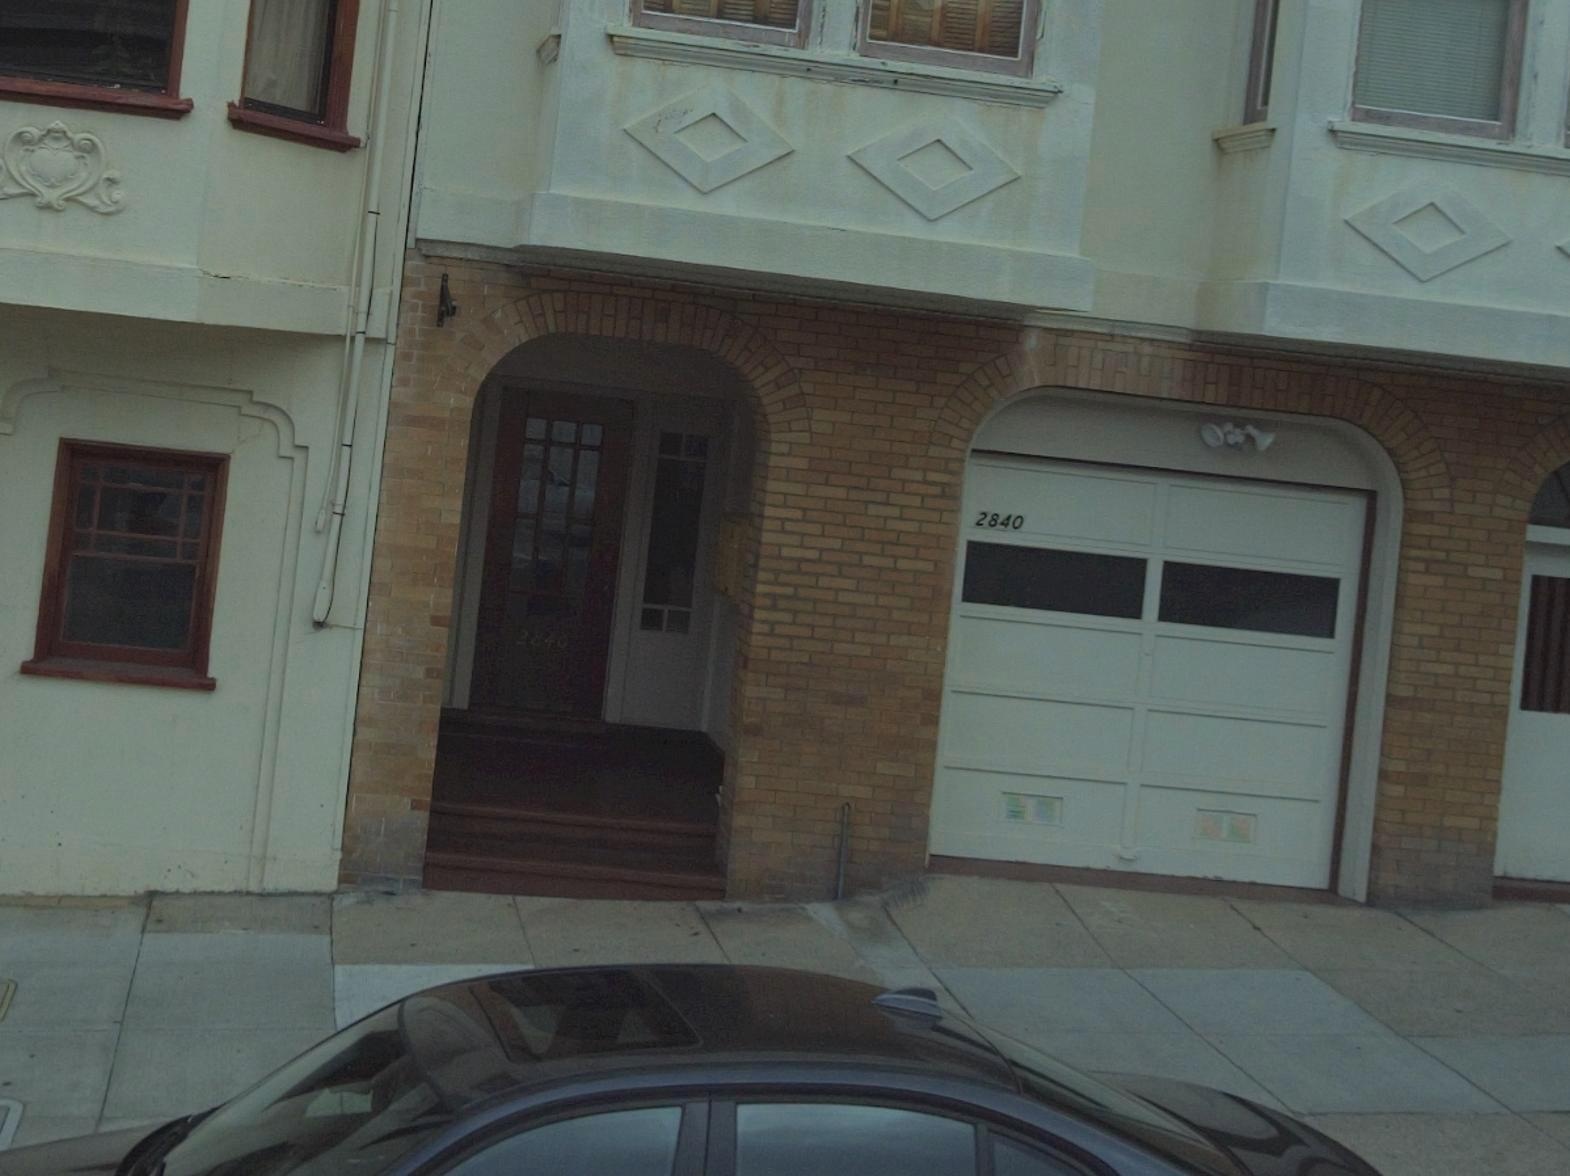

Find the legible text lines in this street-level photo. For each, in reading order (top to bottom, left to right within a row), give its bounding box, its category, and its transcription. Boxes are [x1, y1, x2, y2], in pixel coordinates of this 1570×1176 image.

[971, 508, 1027, 532] StreetNumber: 2840
[509, 626, 574, 656] StreetNumber: 2840